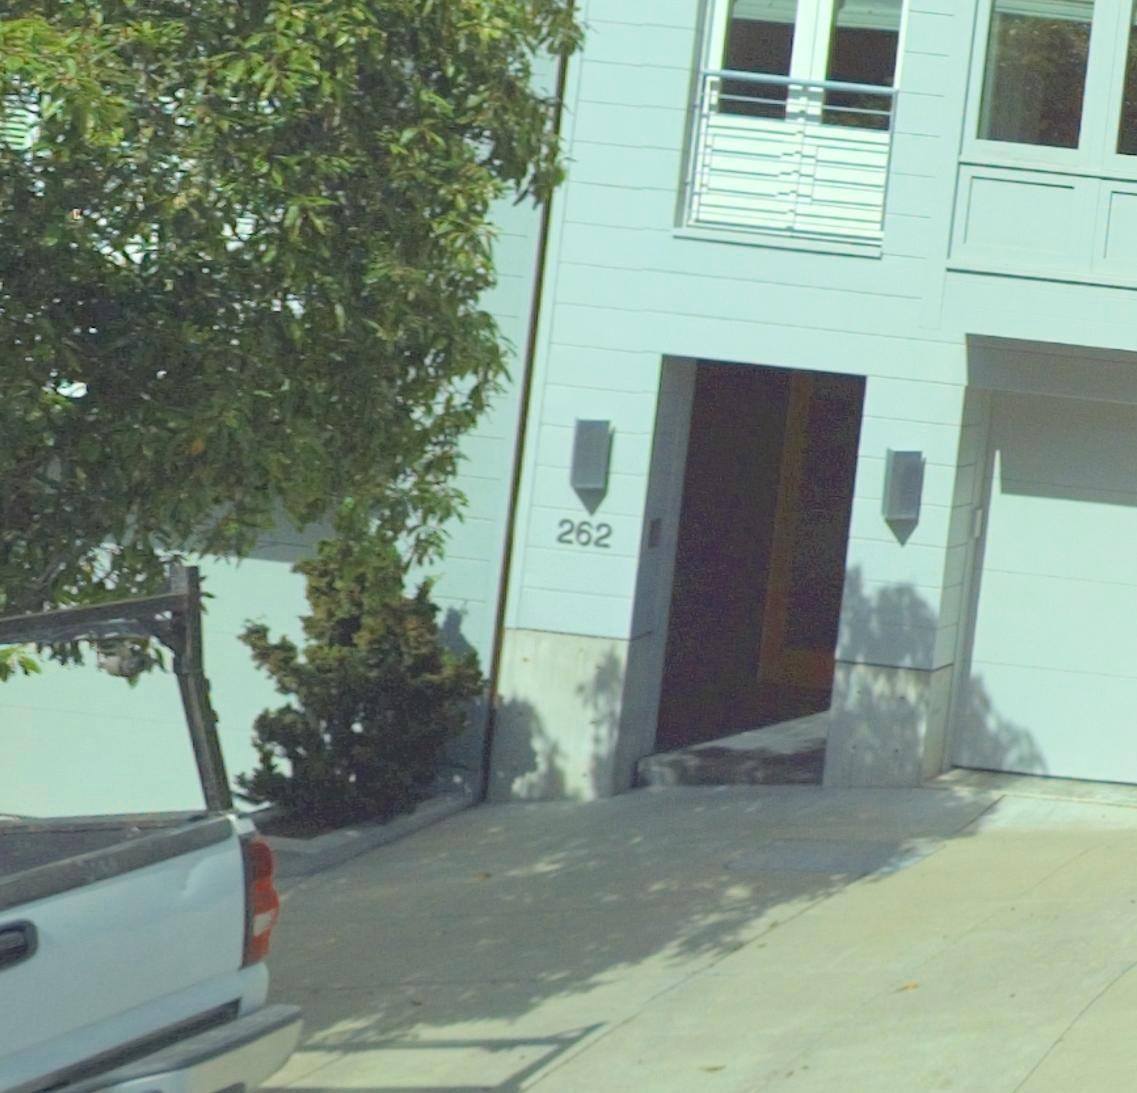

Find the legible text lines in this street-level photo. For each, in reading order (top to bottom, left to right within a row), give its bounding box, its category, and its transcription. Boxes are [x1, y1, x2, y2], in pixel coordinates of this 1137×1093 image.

[553, 517, 612, 550] StreetNumber: 262